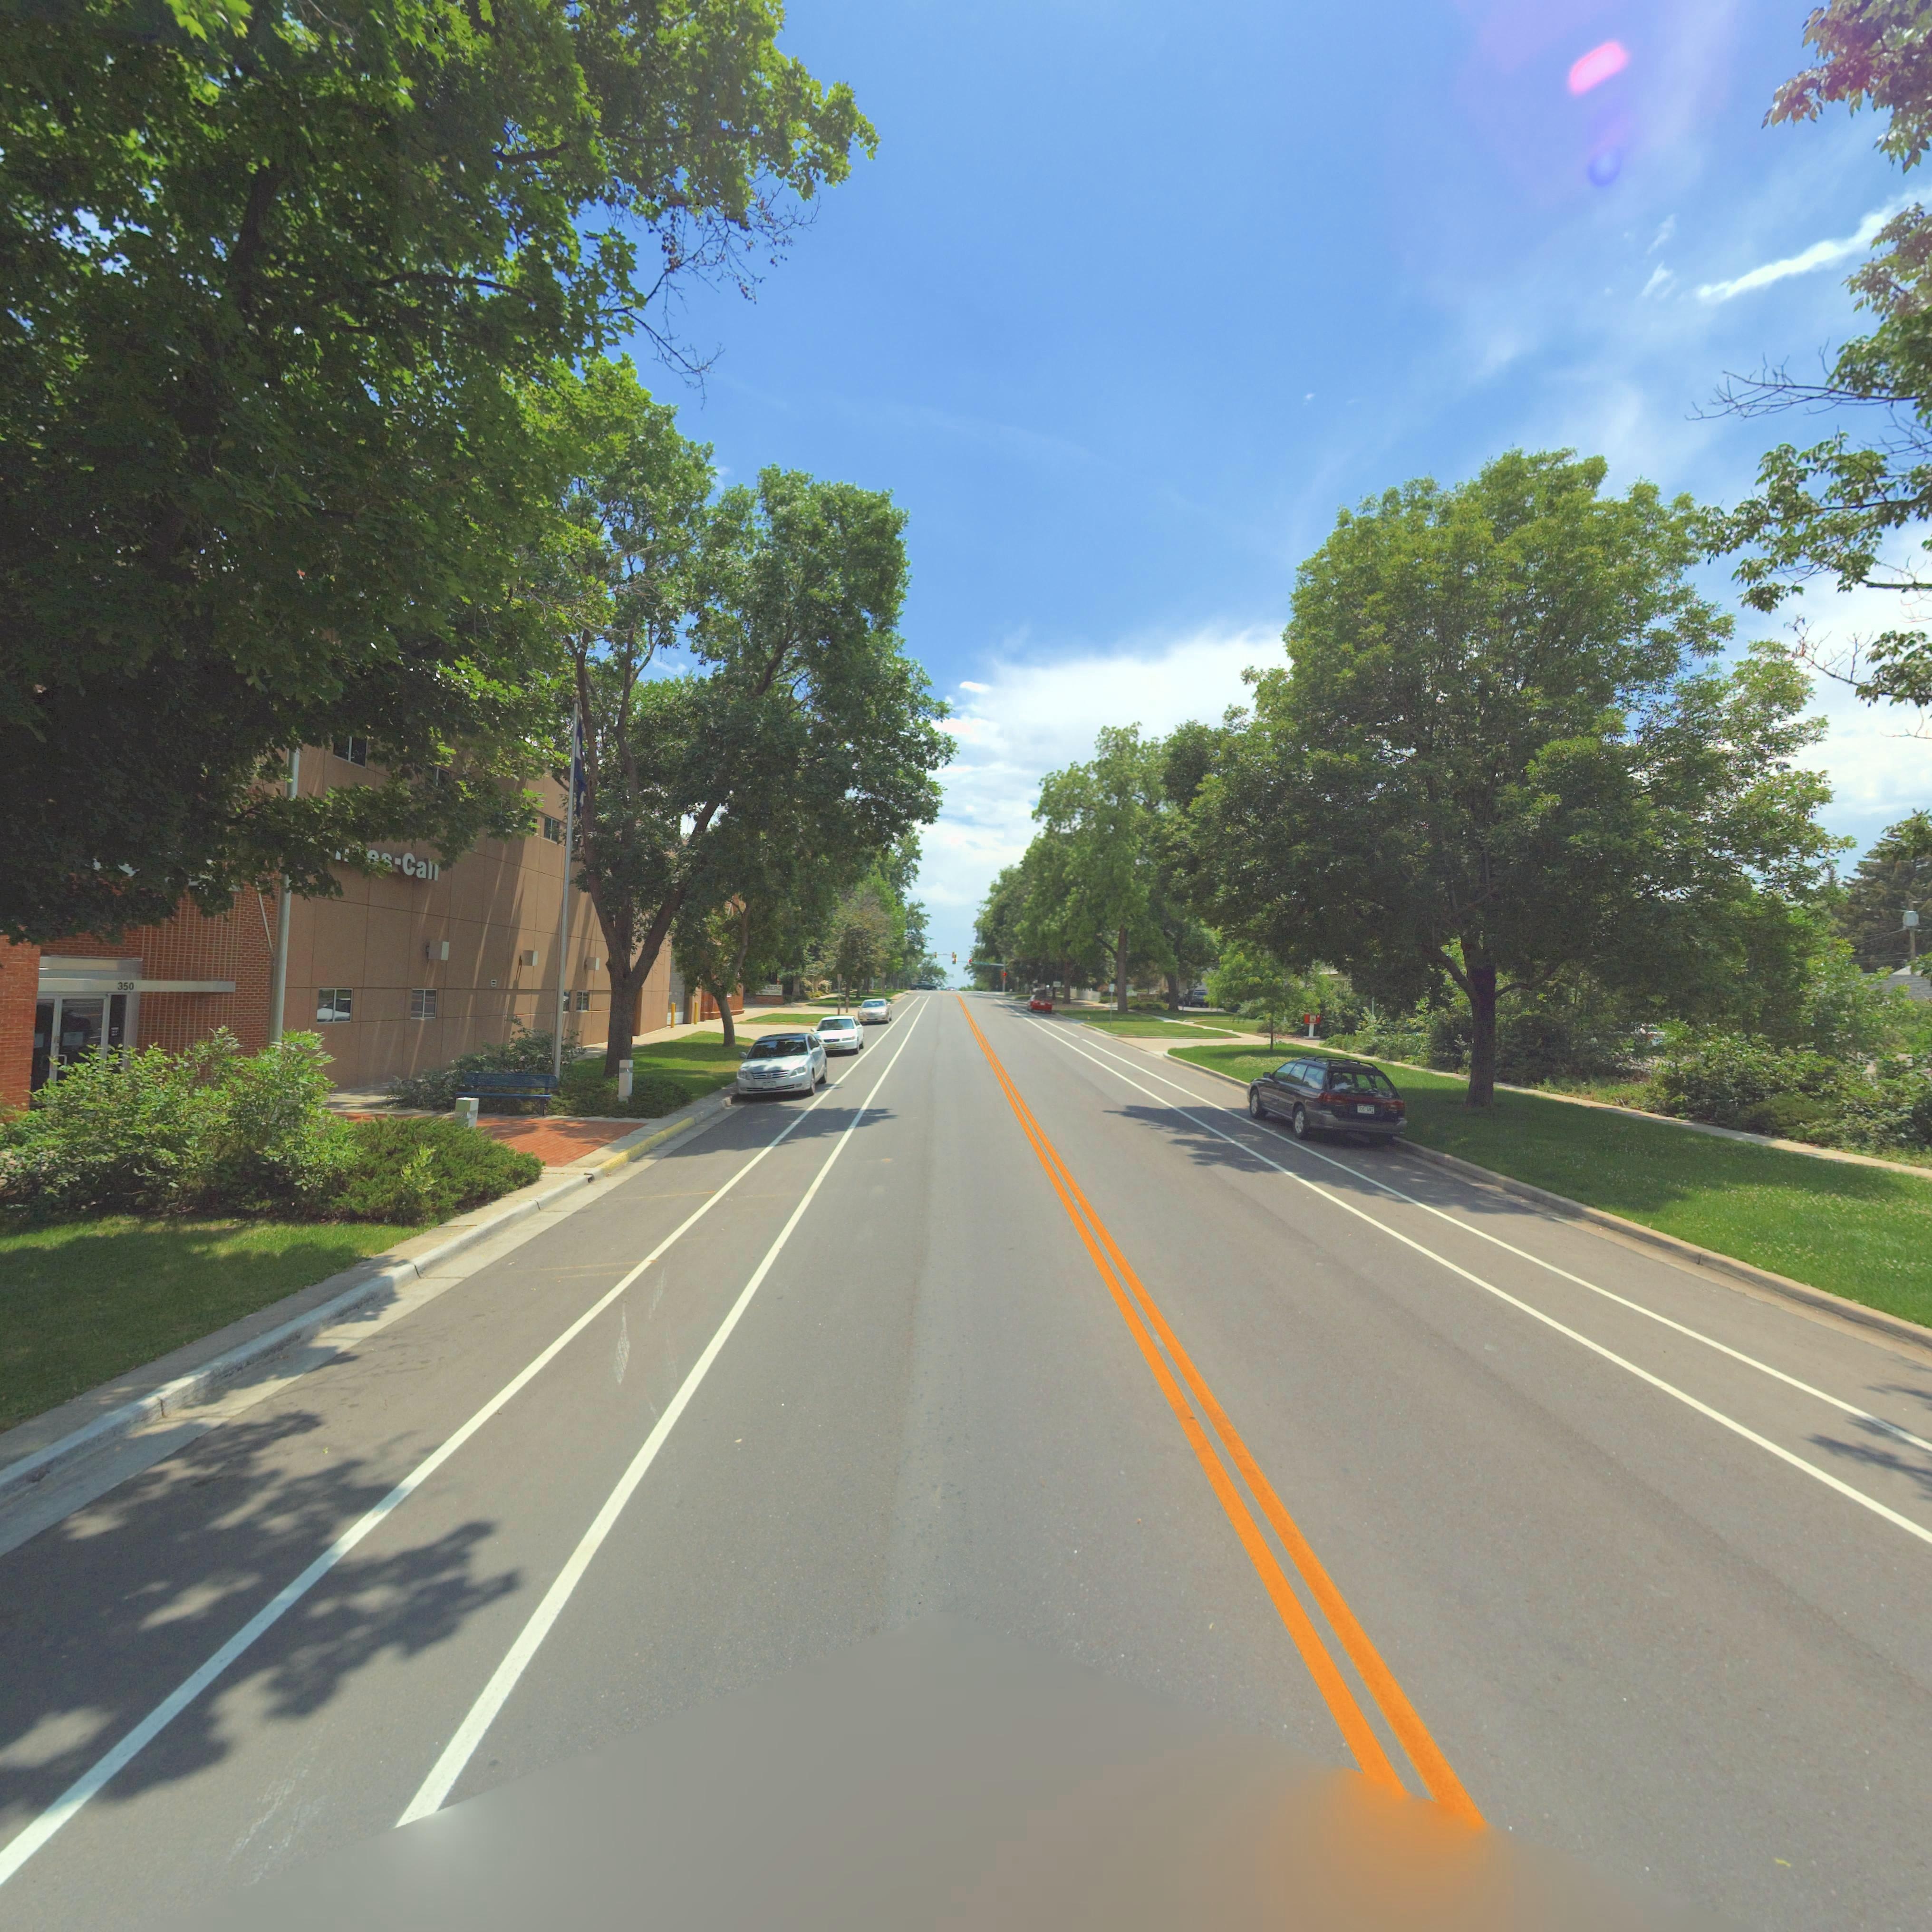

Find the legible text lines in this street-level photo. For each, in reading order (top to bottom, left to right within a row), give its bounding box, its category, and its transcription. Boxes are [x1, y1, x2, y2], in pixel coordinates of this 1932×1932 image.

[401, 851, 440, 882] BusinessName: Call
[117, 981, 134, 991] StreetNumber: 350
[766, 985, 781, 991] BusinessName: BERG
[770, 991, 781, 994] BusinessName: CHAPEL